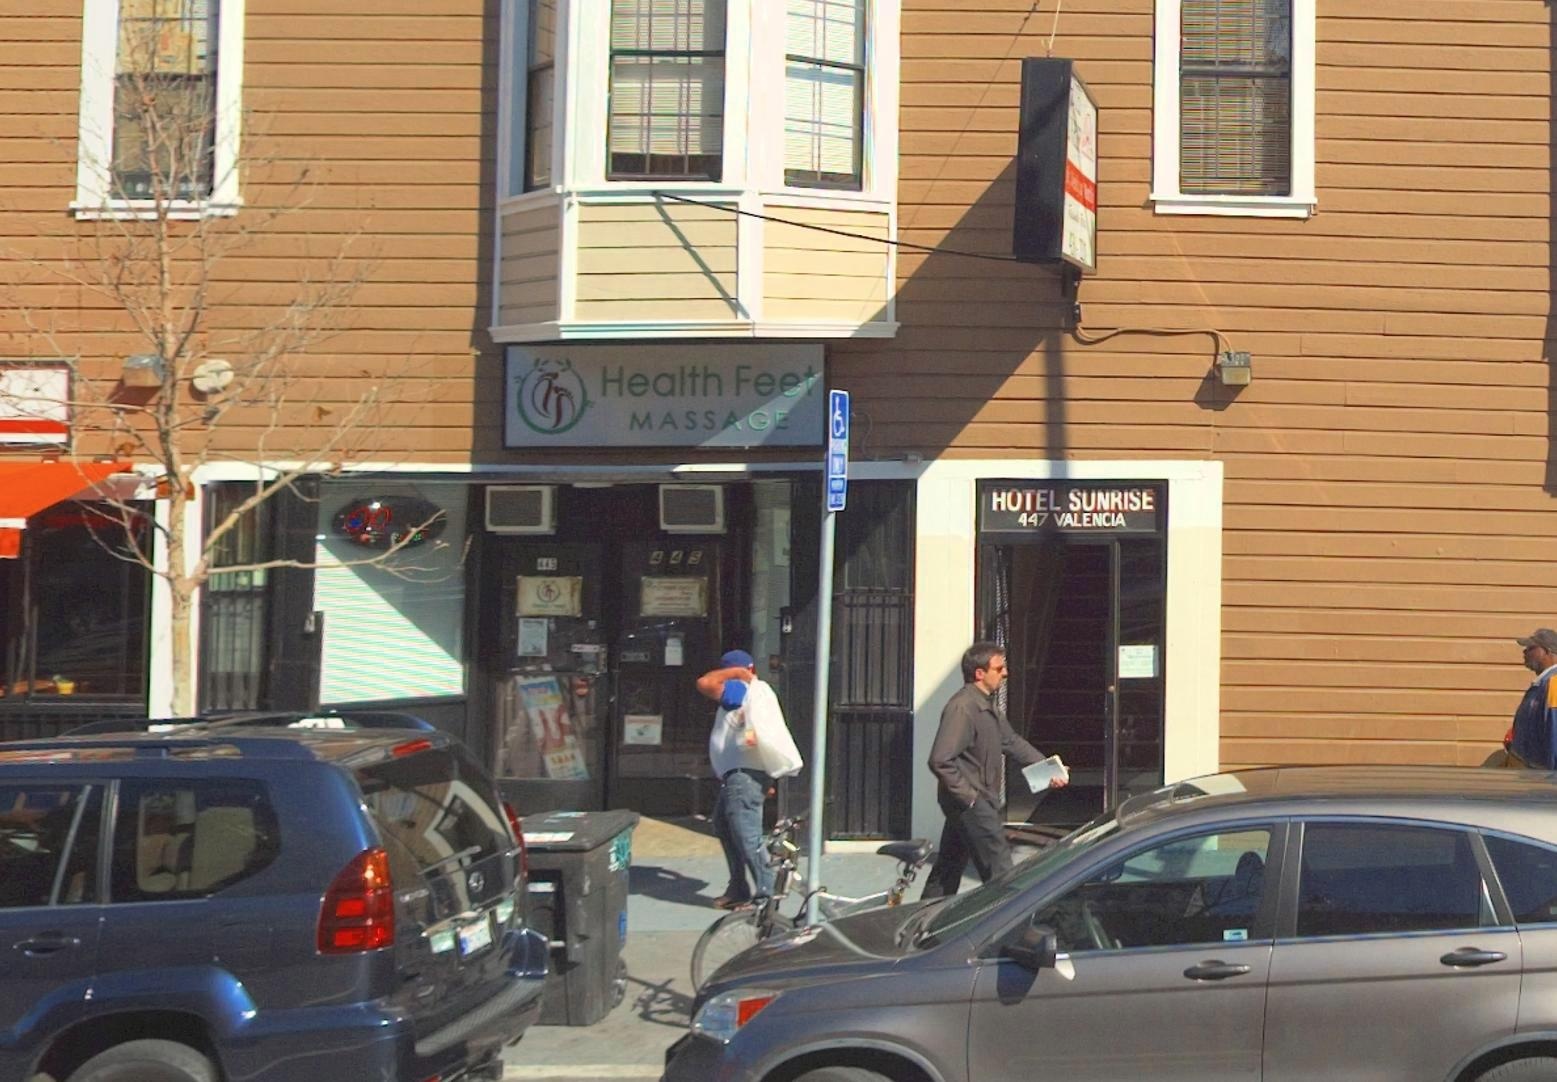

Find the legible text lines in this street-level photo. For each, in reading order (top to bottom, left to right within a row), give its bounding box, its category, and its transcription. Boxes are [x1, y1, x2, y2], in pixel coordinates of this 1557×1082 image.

[599, 362, 819, 400] BusinessName: Health Feet
[625, 408, 792, 433] BusinessName: MASSAGE
[990, 486, 1155, 512] BusinessName: HOTEL SUNRISE
[342, 505, 391, 546] None: op
[1016, 512, 1052, 528] StreetNumber: 447
[1051, 512, 1129, 528] StreetName: VALENCIA
[537, 558, 557, 569] StreetNumber: 445
[648, 550, 703, 565] StreetNumber: 445